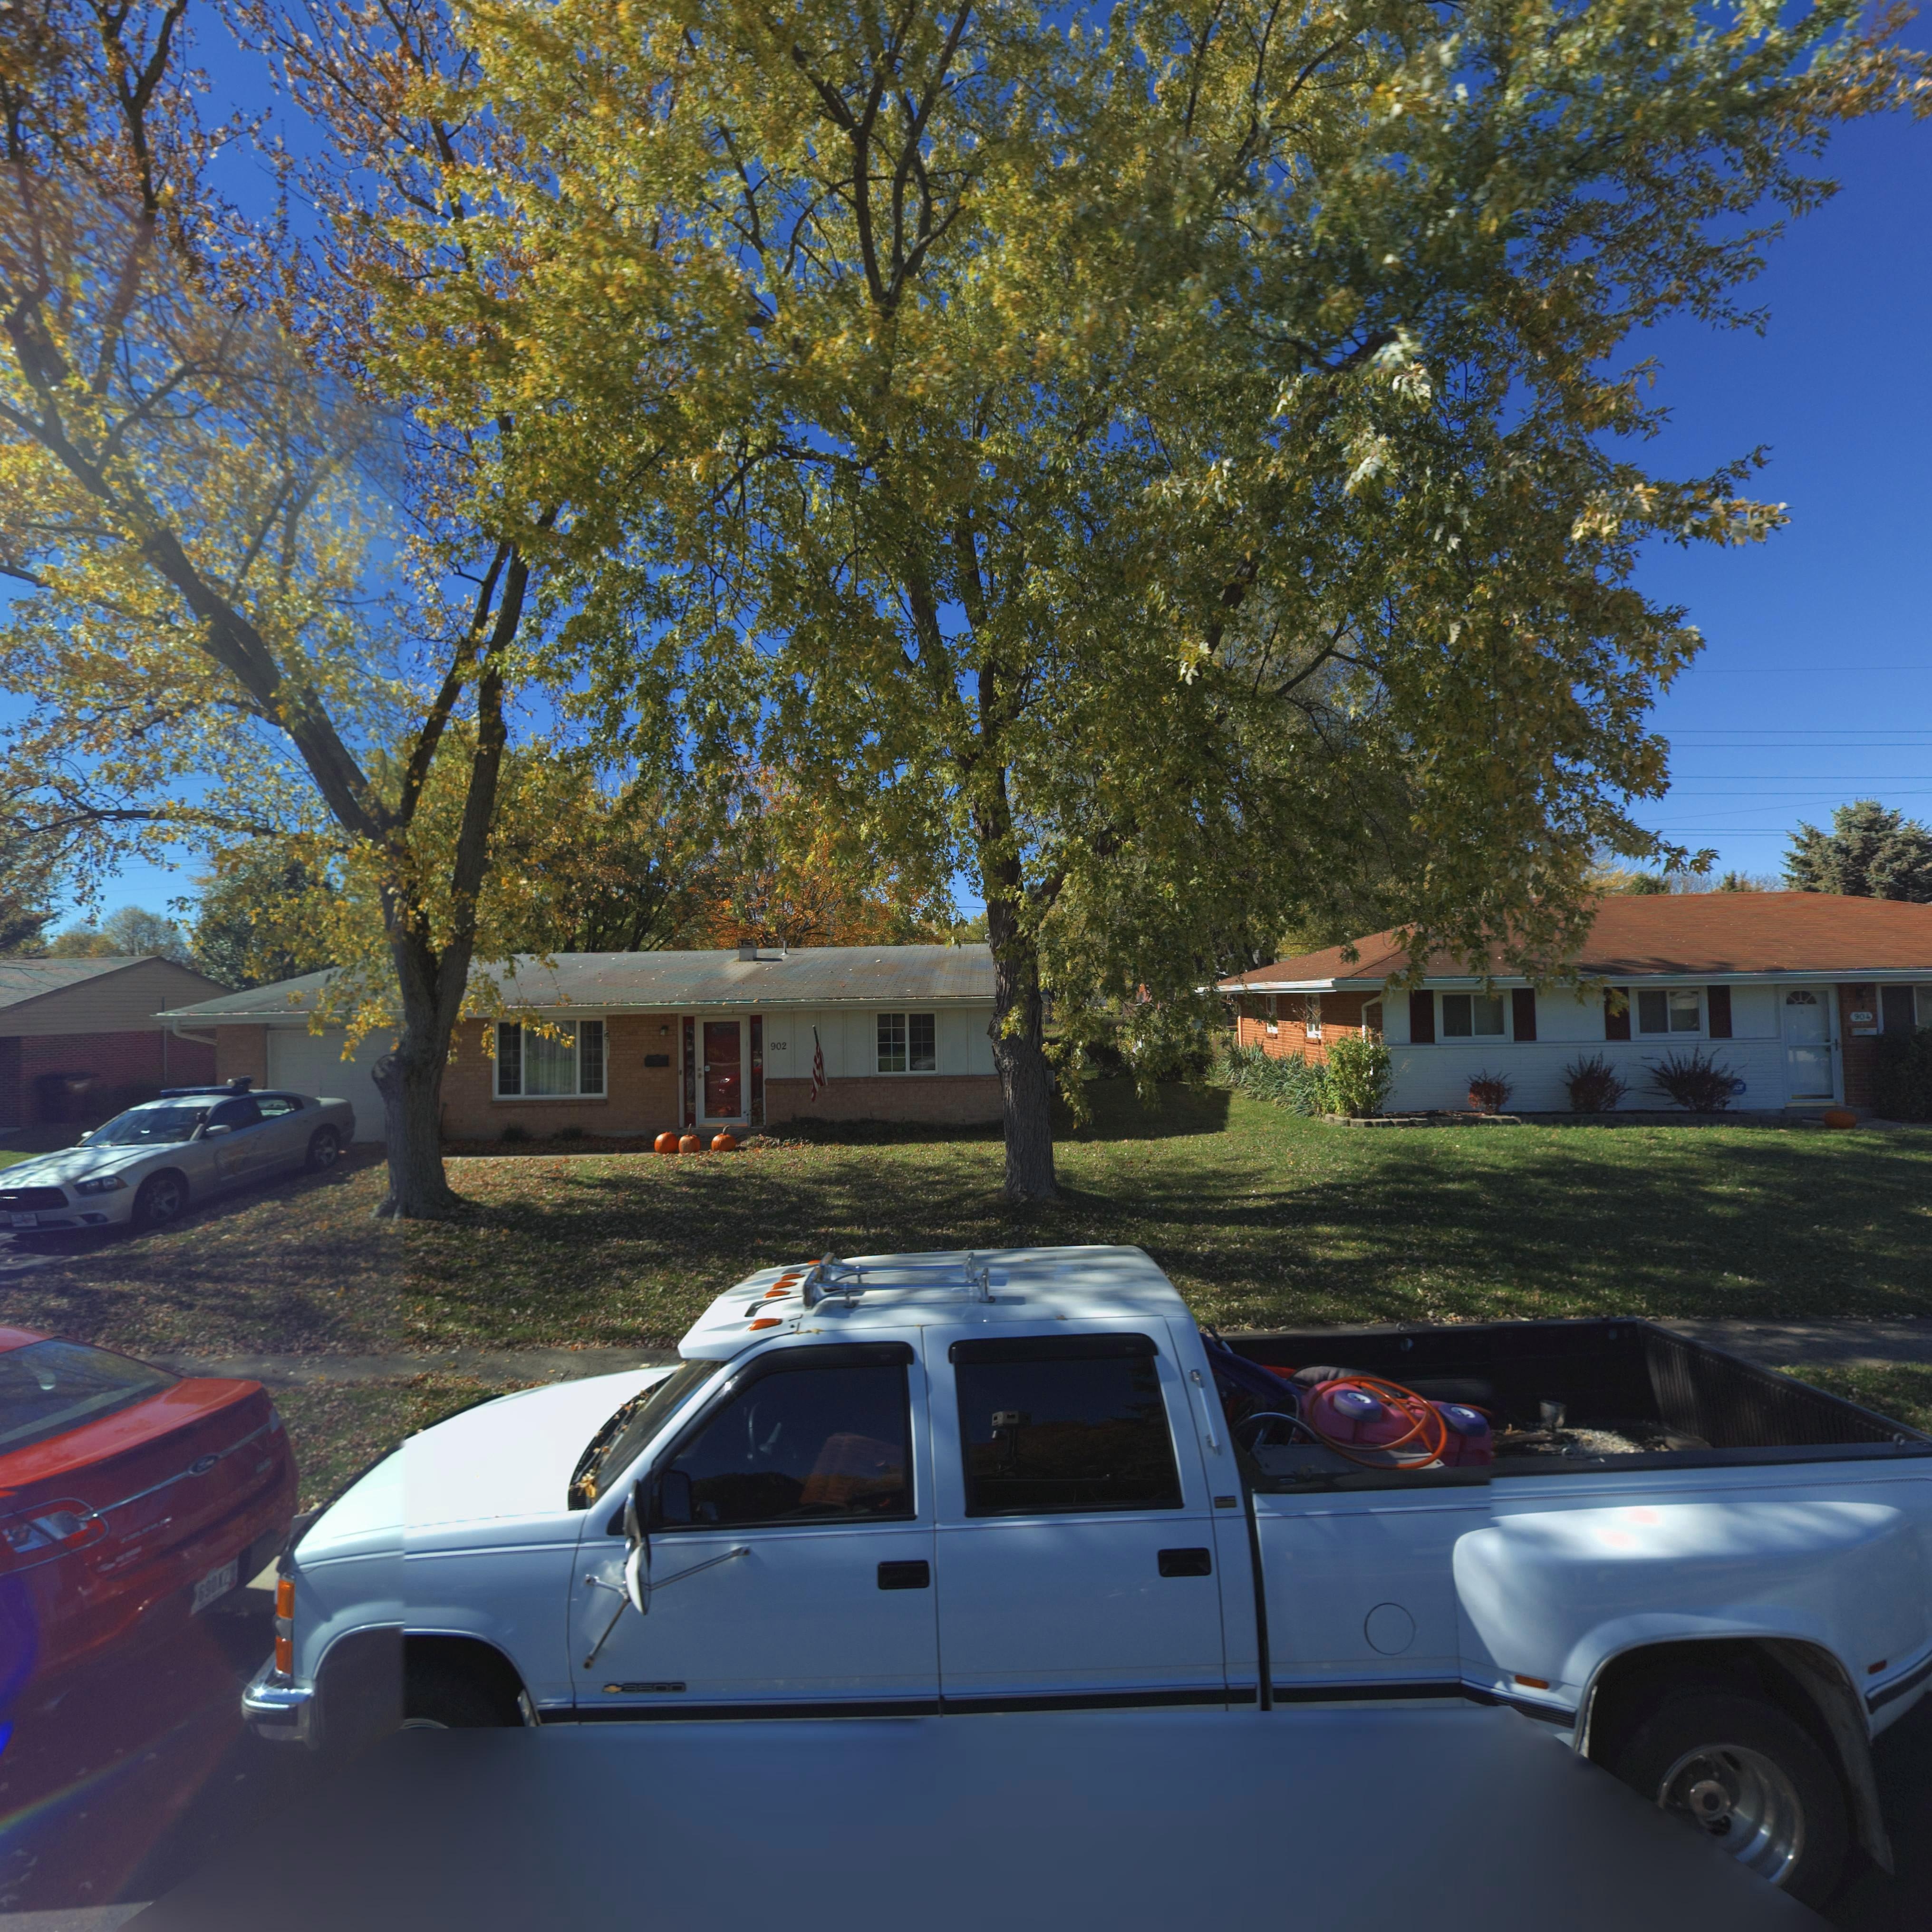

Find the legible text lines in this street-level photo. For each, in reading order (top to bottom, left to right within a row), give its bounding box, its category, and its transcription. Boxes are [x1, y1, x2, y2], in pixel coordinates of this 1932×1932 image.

[1854, 1013, 1871, 1020] StreetNumber: 904
[770, 1042, 787, 1051] StreetNumber: 902